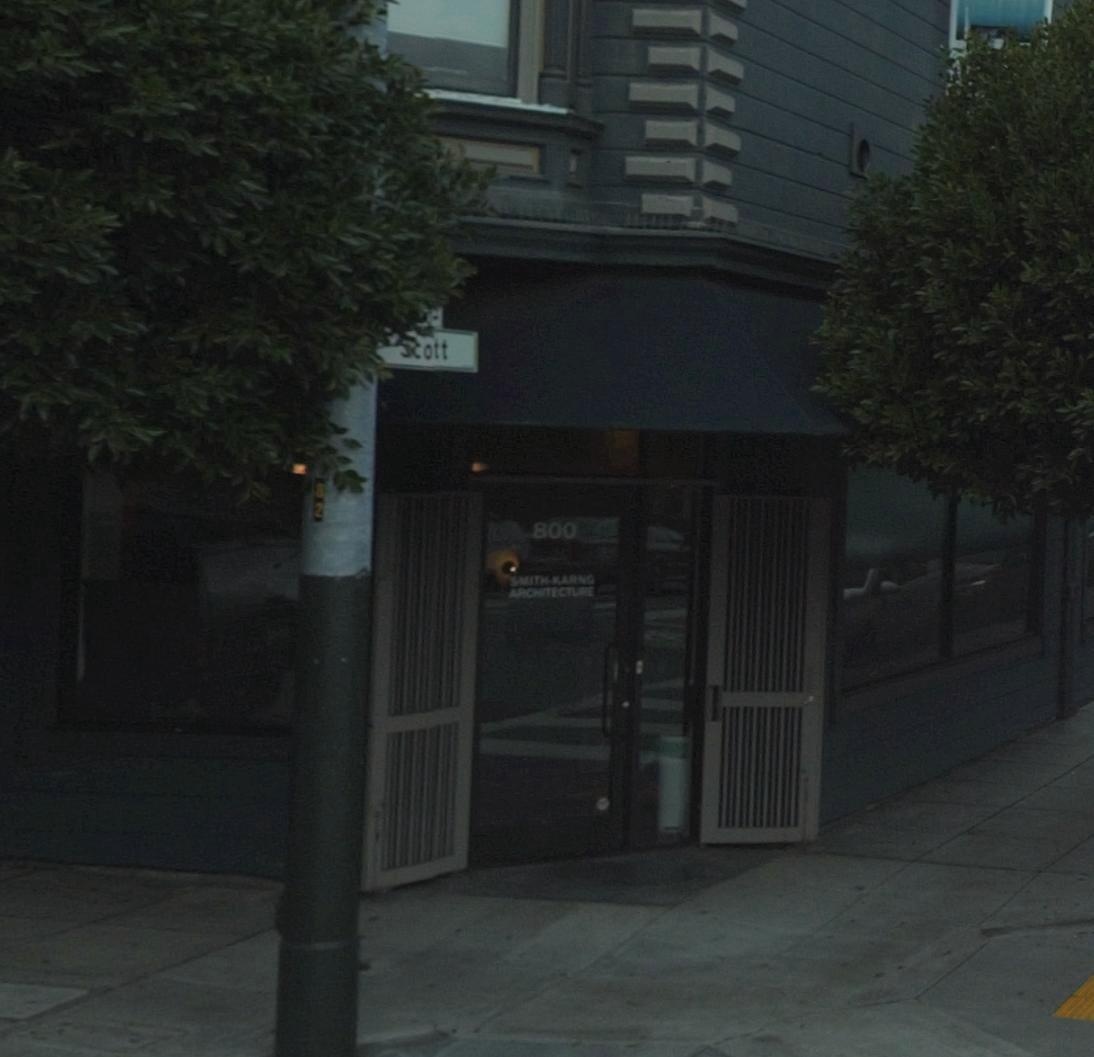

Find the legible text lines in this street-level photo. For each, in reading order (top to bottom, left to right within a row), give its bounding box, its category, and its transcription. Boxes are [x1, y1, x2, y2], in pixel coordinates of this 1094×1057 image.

[409, 335, 452, 364] StreetName: cott
[310, 479, 328, 522] None: 82
[531, 520, 578, 541] StreetNumber: 800
[506, 571, 598, 589] BusinessName: SMITH-KA*NG
[506, 584, 597, 601] BusinessName: ARCHITECTURE